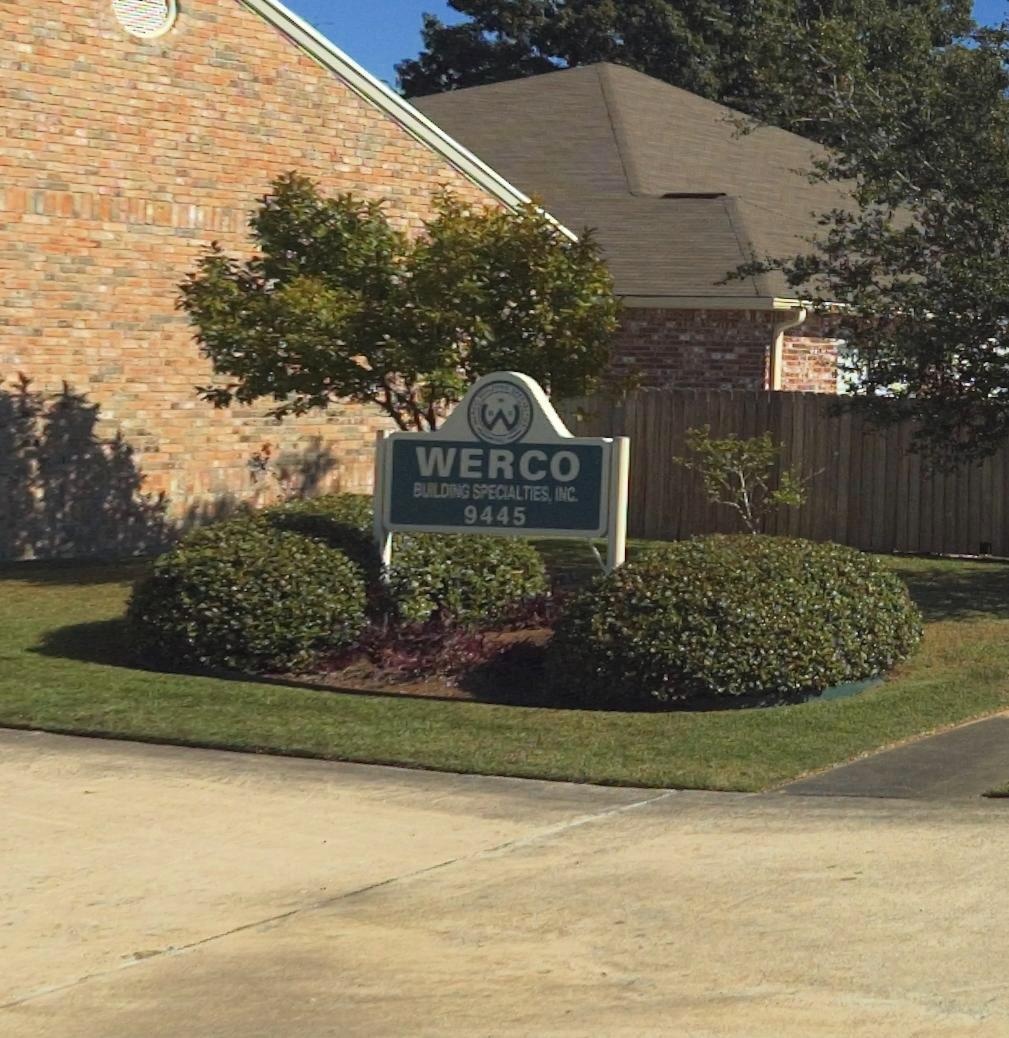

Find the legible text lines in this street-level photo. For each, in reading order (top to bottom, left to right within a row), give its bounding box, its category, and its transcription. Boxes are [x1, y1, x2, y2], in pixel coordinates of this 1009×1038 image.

[411, 444, 583, 485] BusinessName: WERCO
[409, 478, 582, 506] BusinessName: BUILDING SPECIALTIES, INC.
[461, 502, 529, 529] StreetNumber: 9445